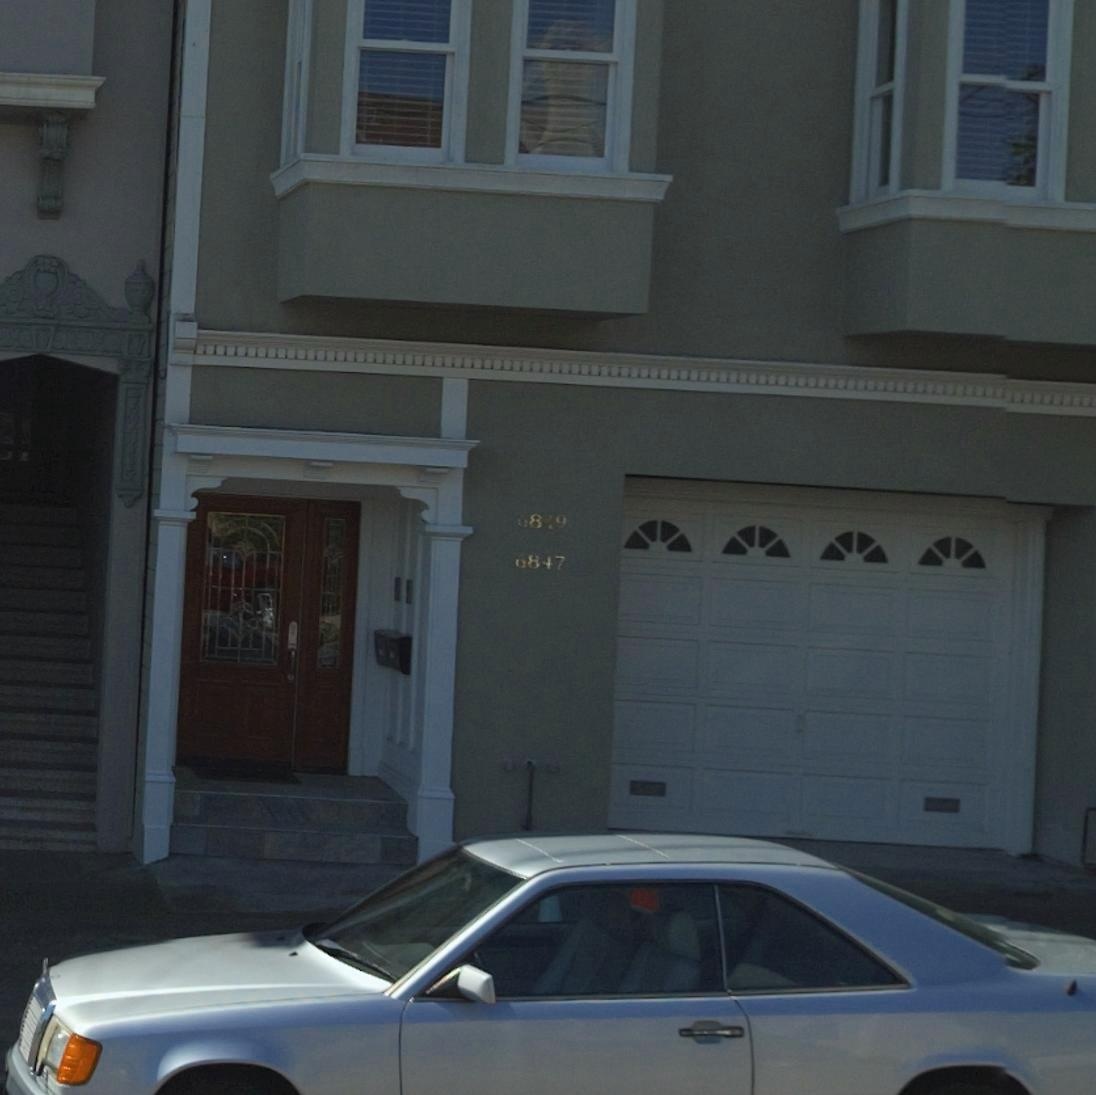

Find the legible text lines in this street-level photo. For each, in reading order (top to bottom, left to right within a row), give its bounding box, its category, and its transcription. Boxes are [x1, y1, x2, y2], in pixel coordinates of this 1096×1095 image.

[514, 511, 569, 531] StreetNumber: 6849
[513, 551, 567, 572] StreetNumber: 6847